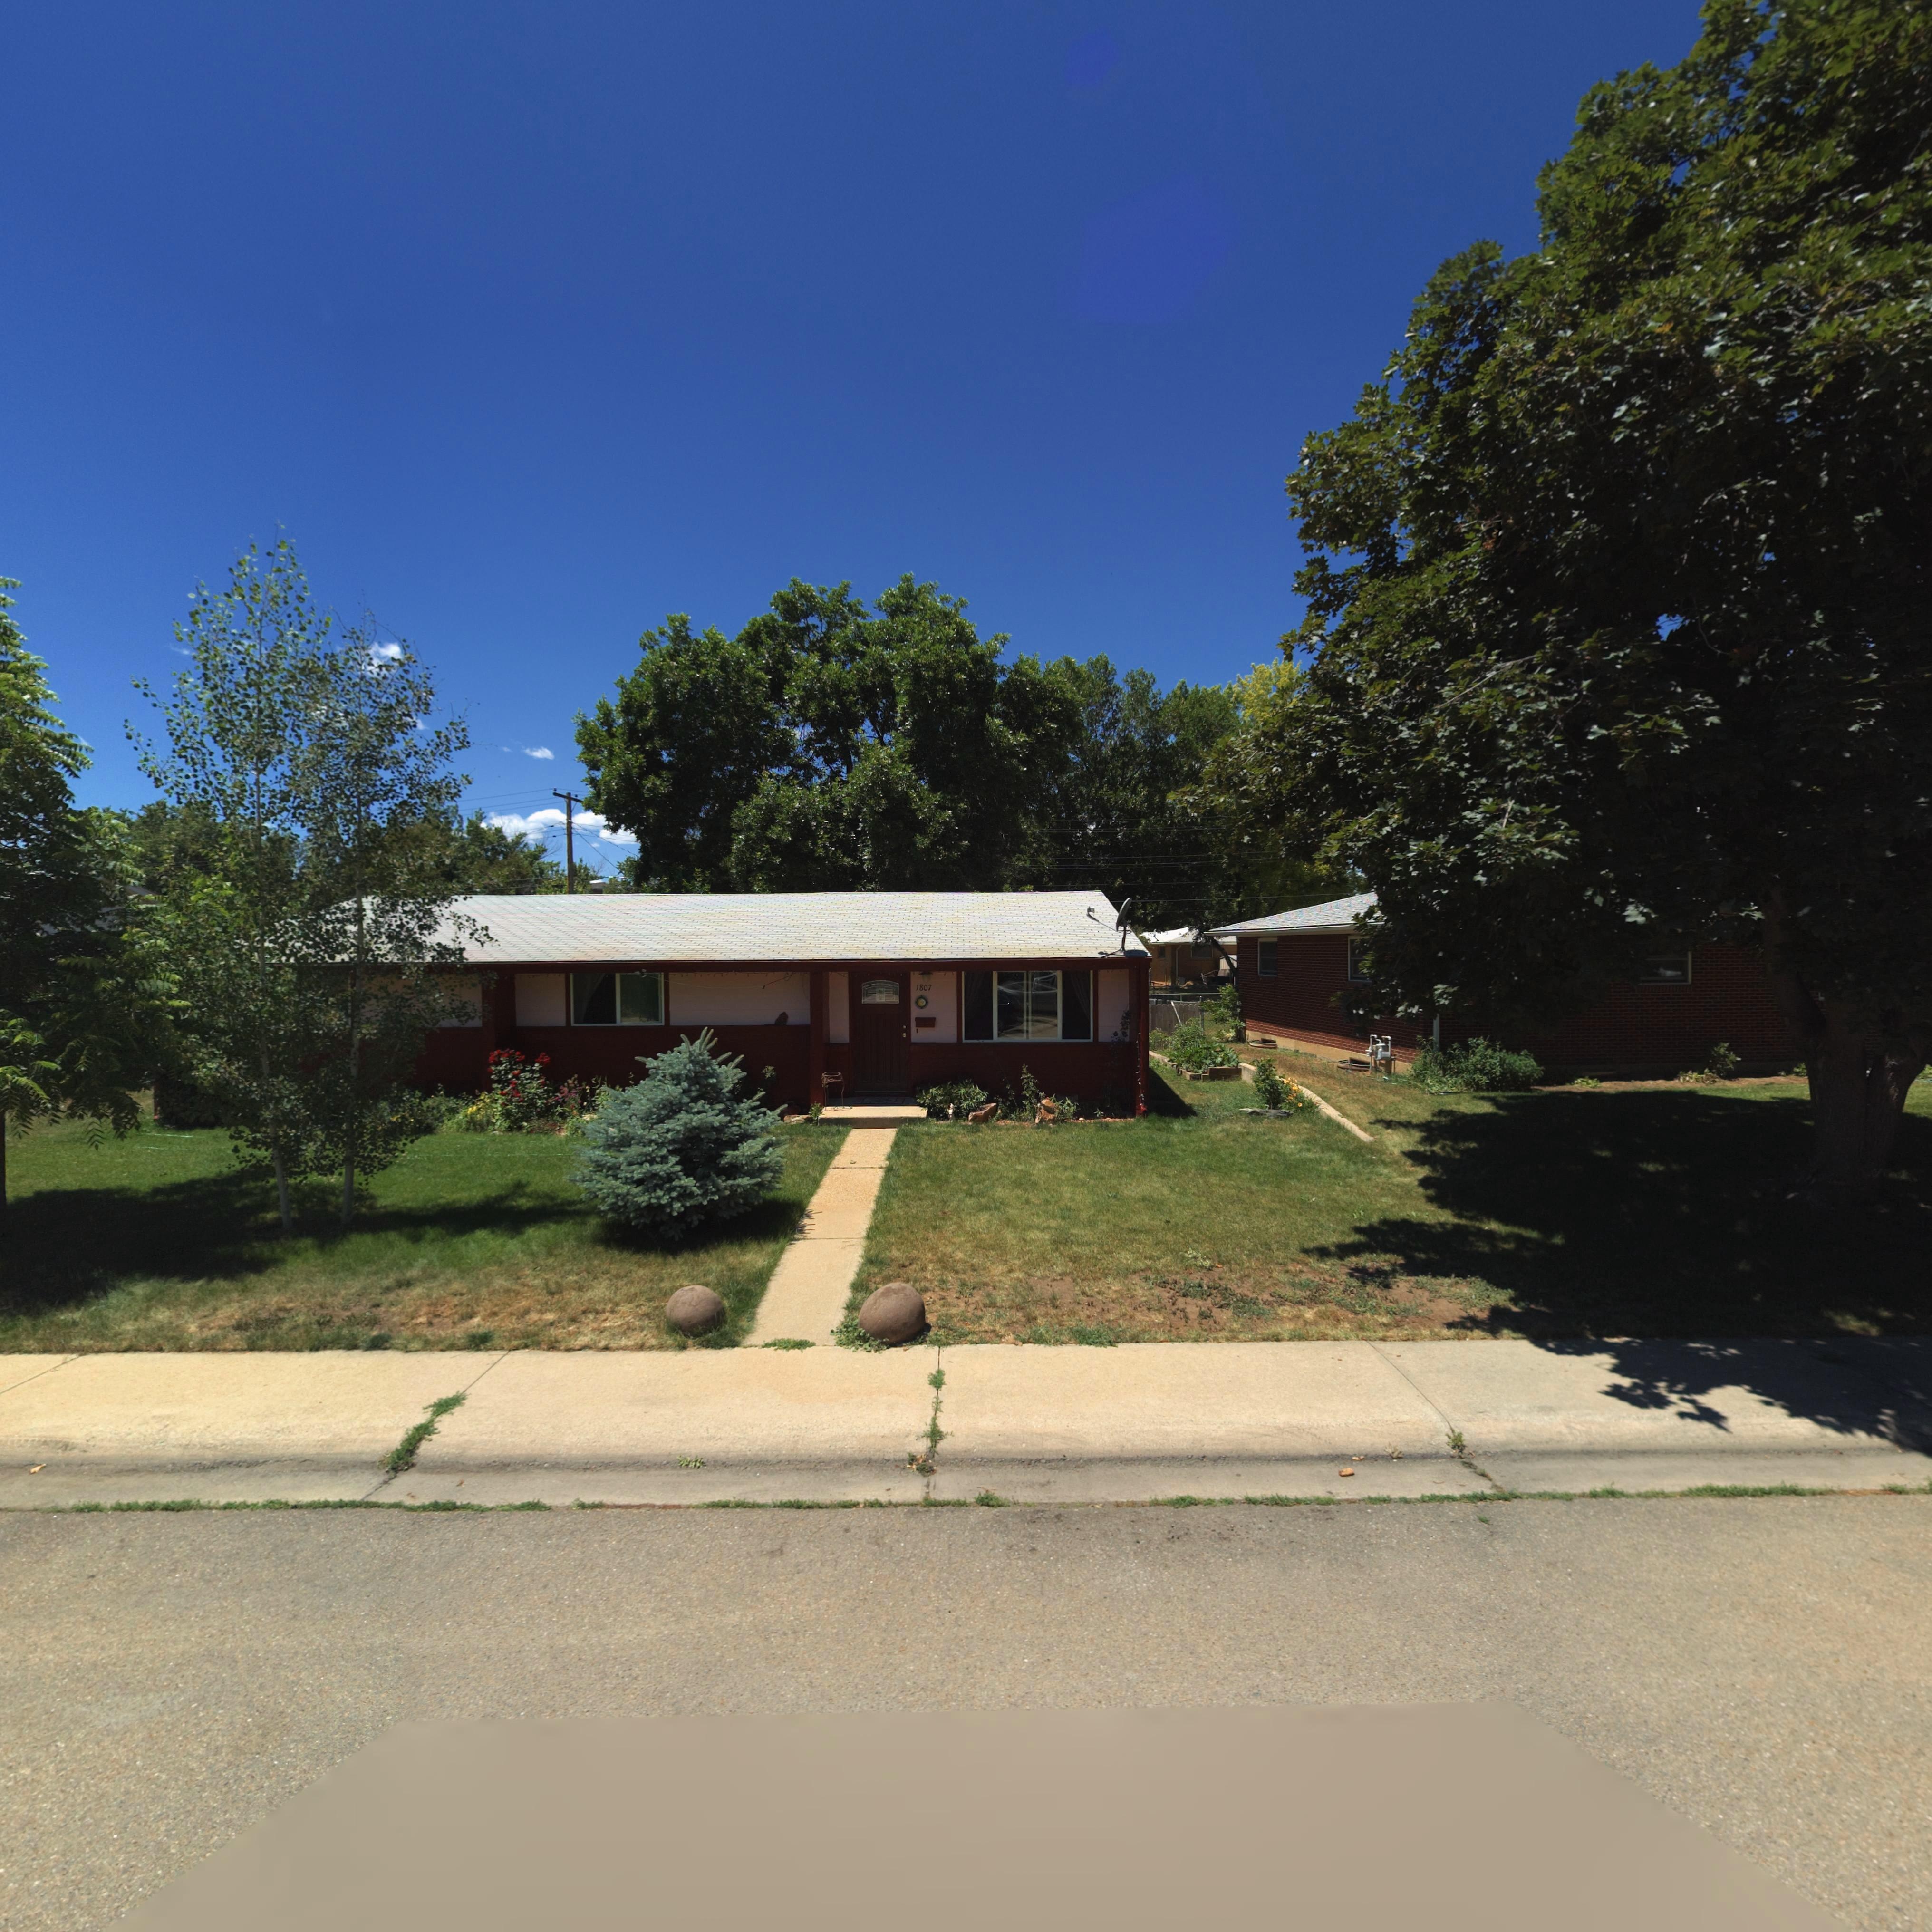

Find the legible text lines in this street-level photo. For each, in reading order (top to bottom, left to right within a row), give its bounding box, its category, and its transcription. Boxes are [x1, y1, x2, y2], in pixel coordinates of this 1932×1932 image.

[916, 984, 932, 991] StreetNumber: 1807